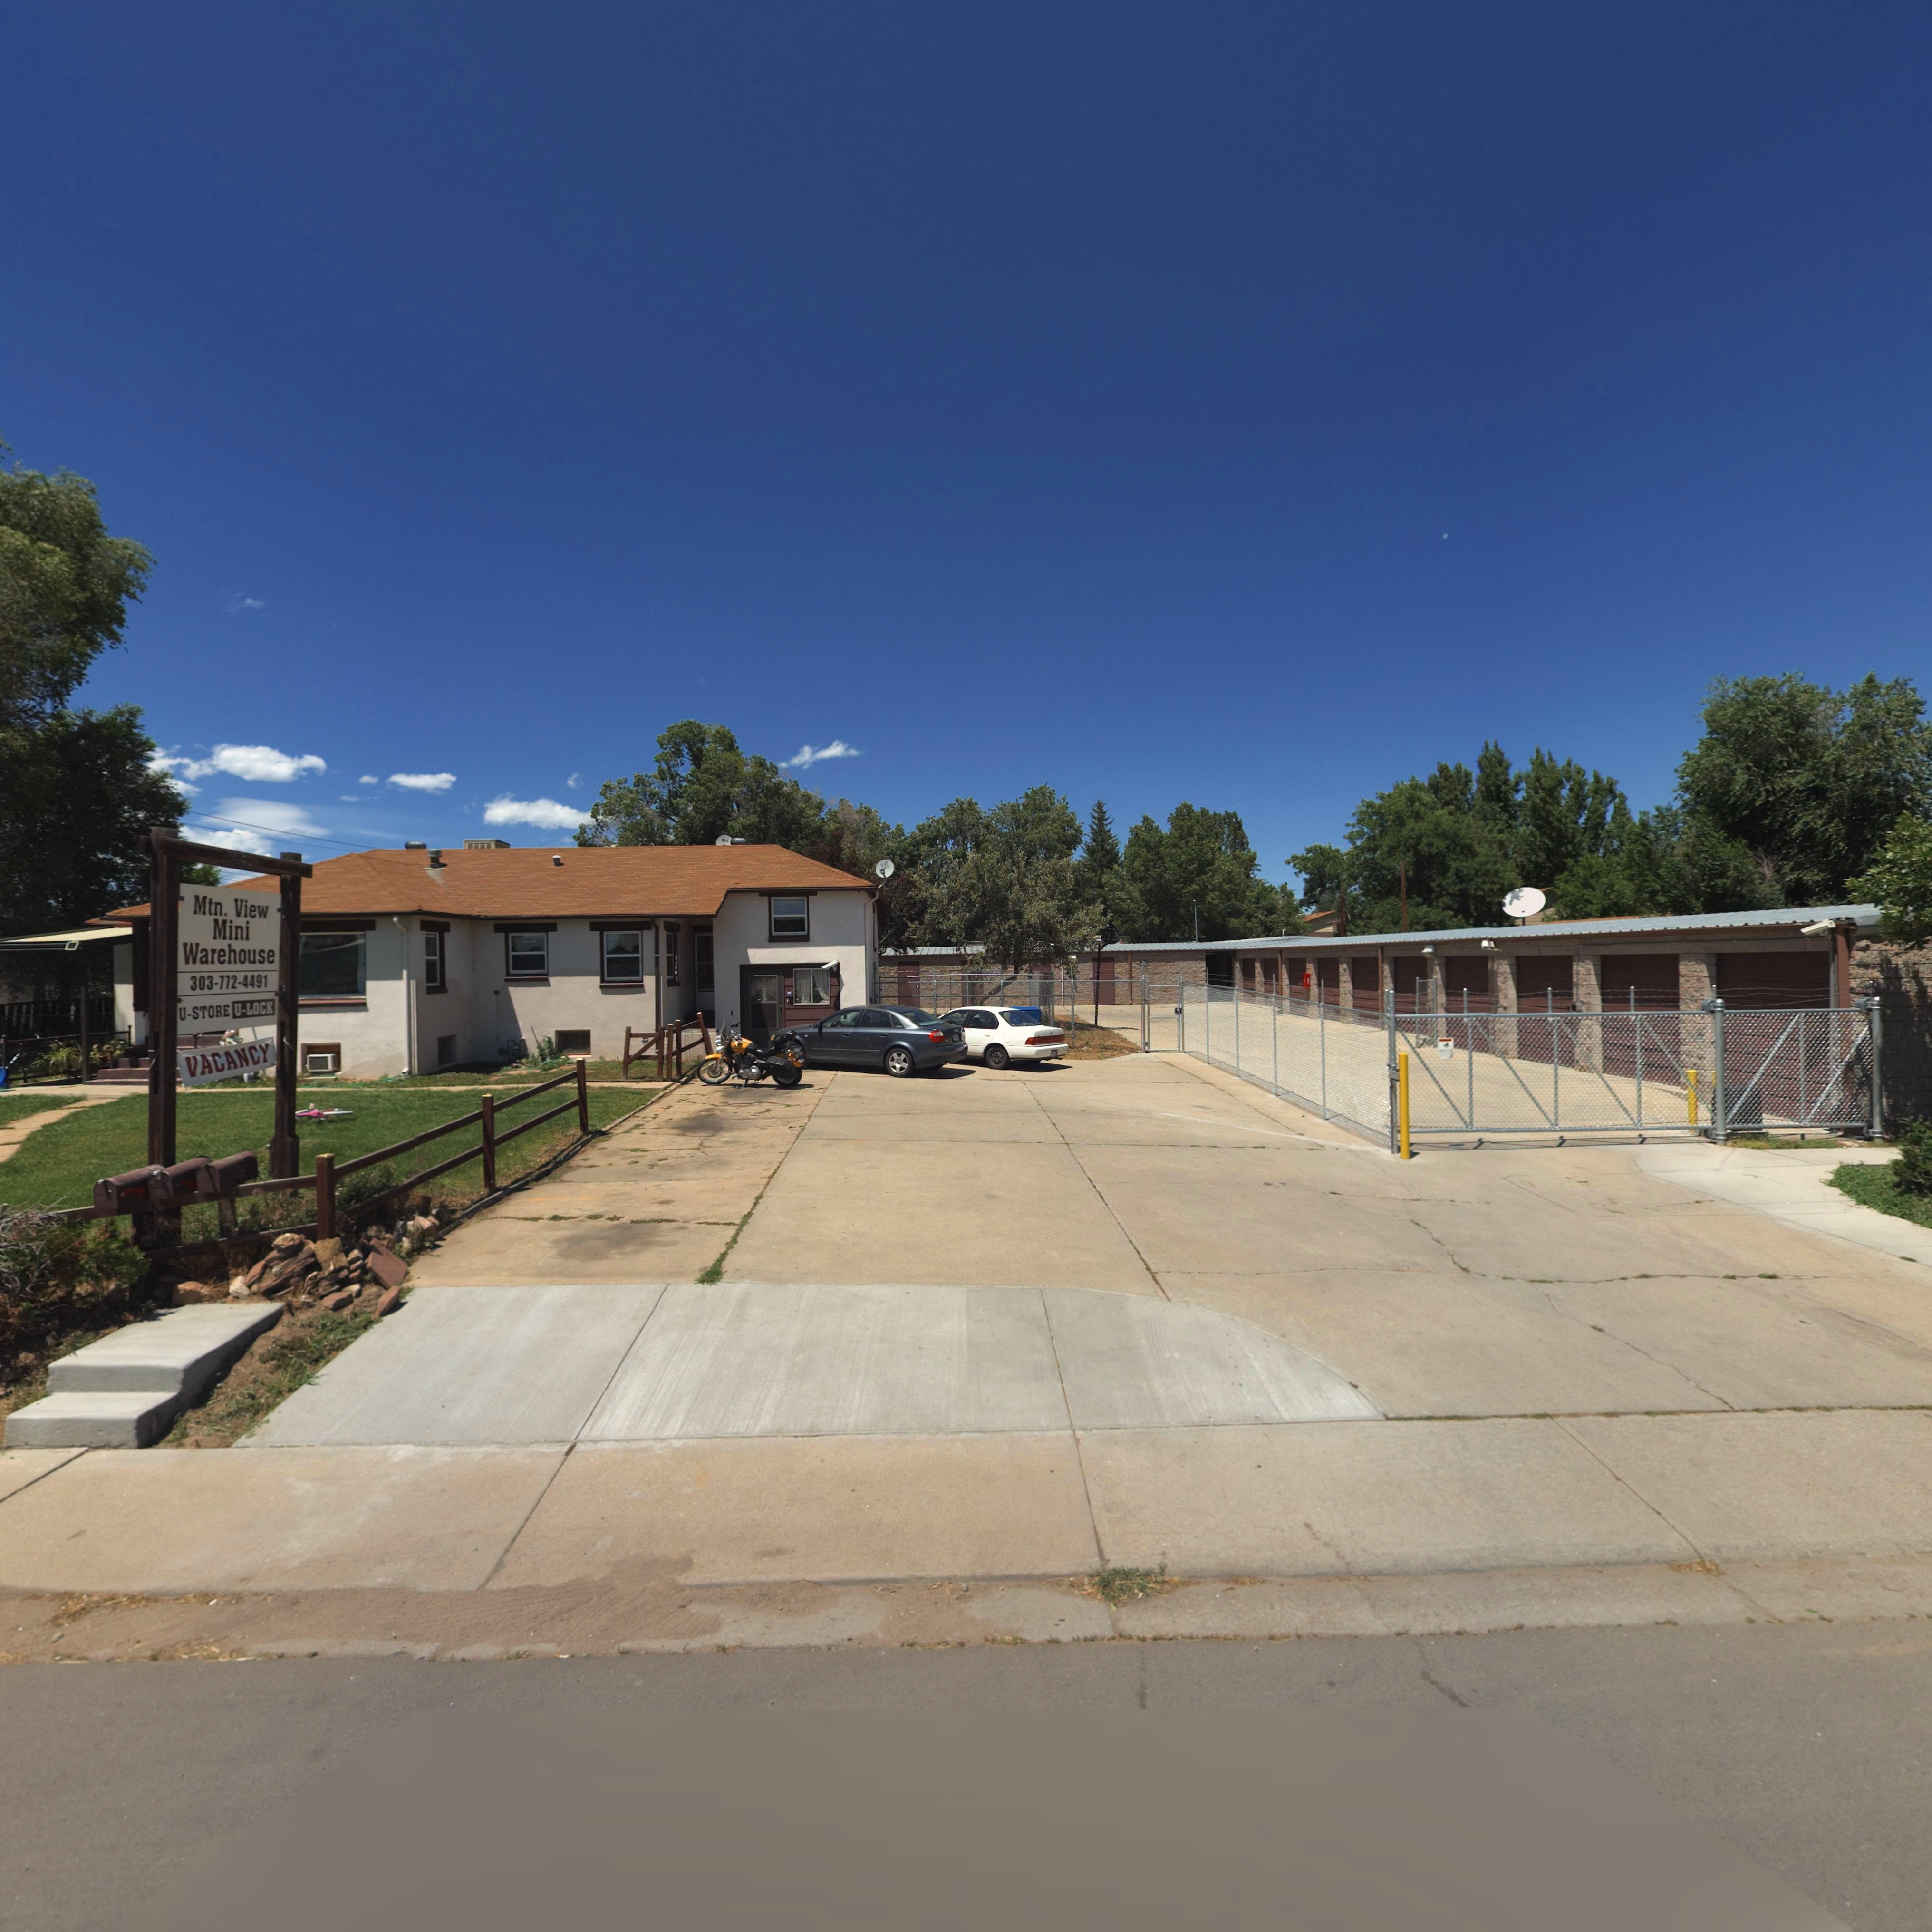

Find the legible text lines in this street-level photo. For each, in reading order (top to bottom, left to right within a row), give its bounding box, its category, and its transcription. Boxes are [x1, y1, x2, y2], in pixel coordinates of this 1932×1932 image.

[232, 853, 254, 866] StreetNumber: 440
[193, 893, 269, 919] BusinessName: Mtn. View
[212, 918, 250, 941] BusinessName: Mini
[182, 941, 275, 964] BusinessName: Warehouse